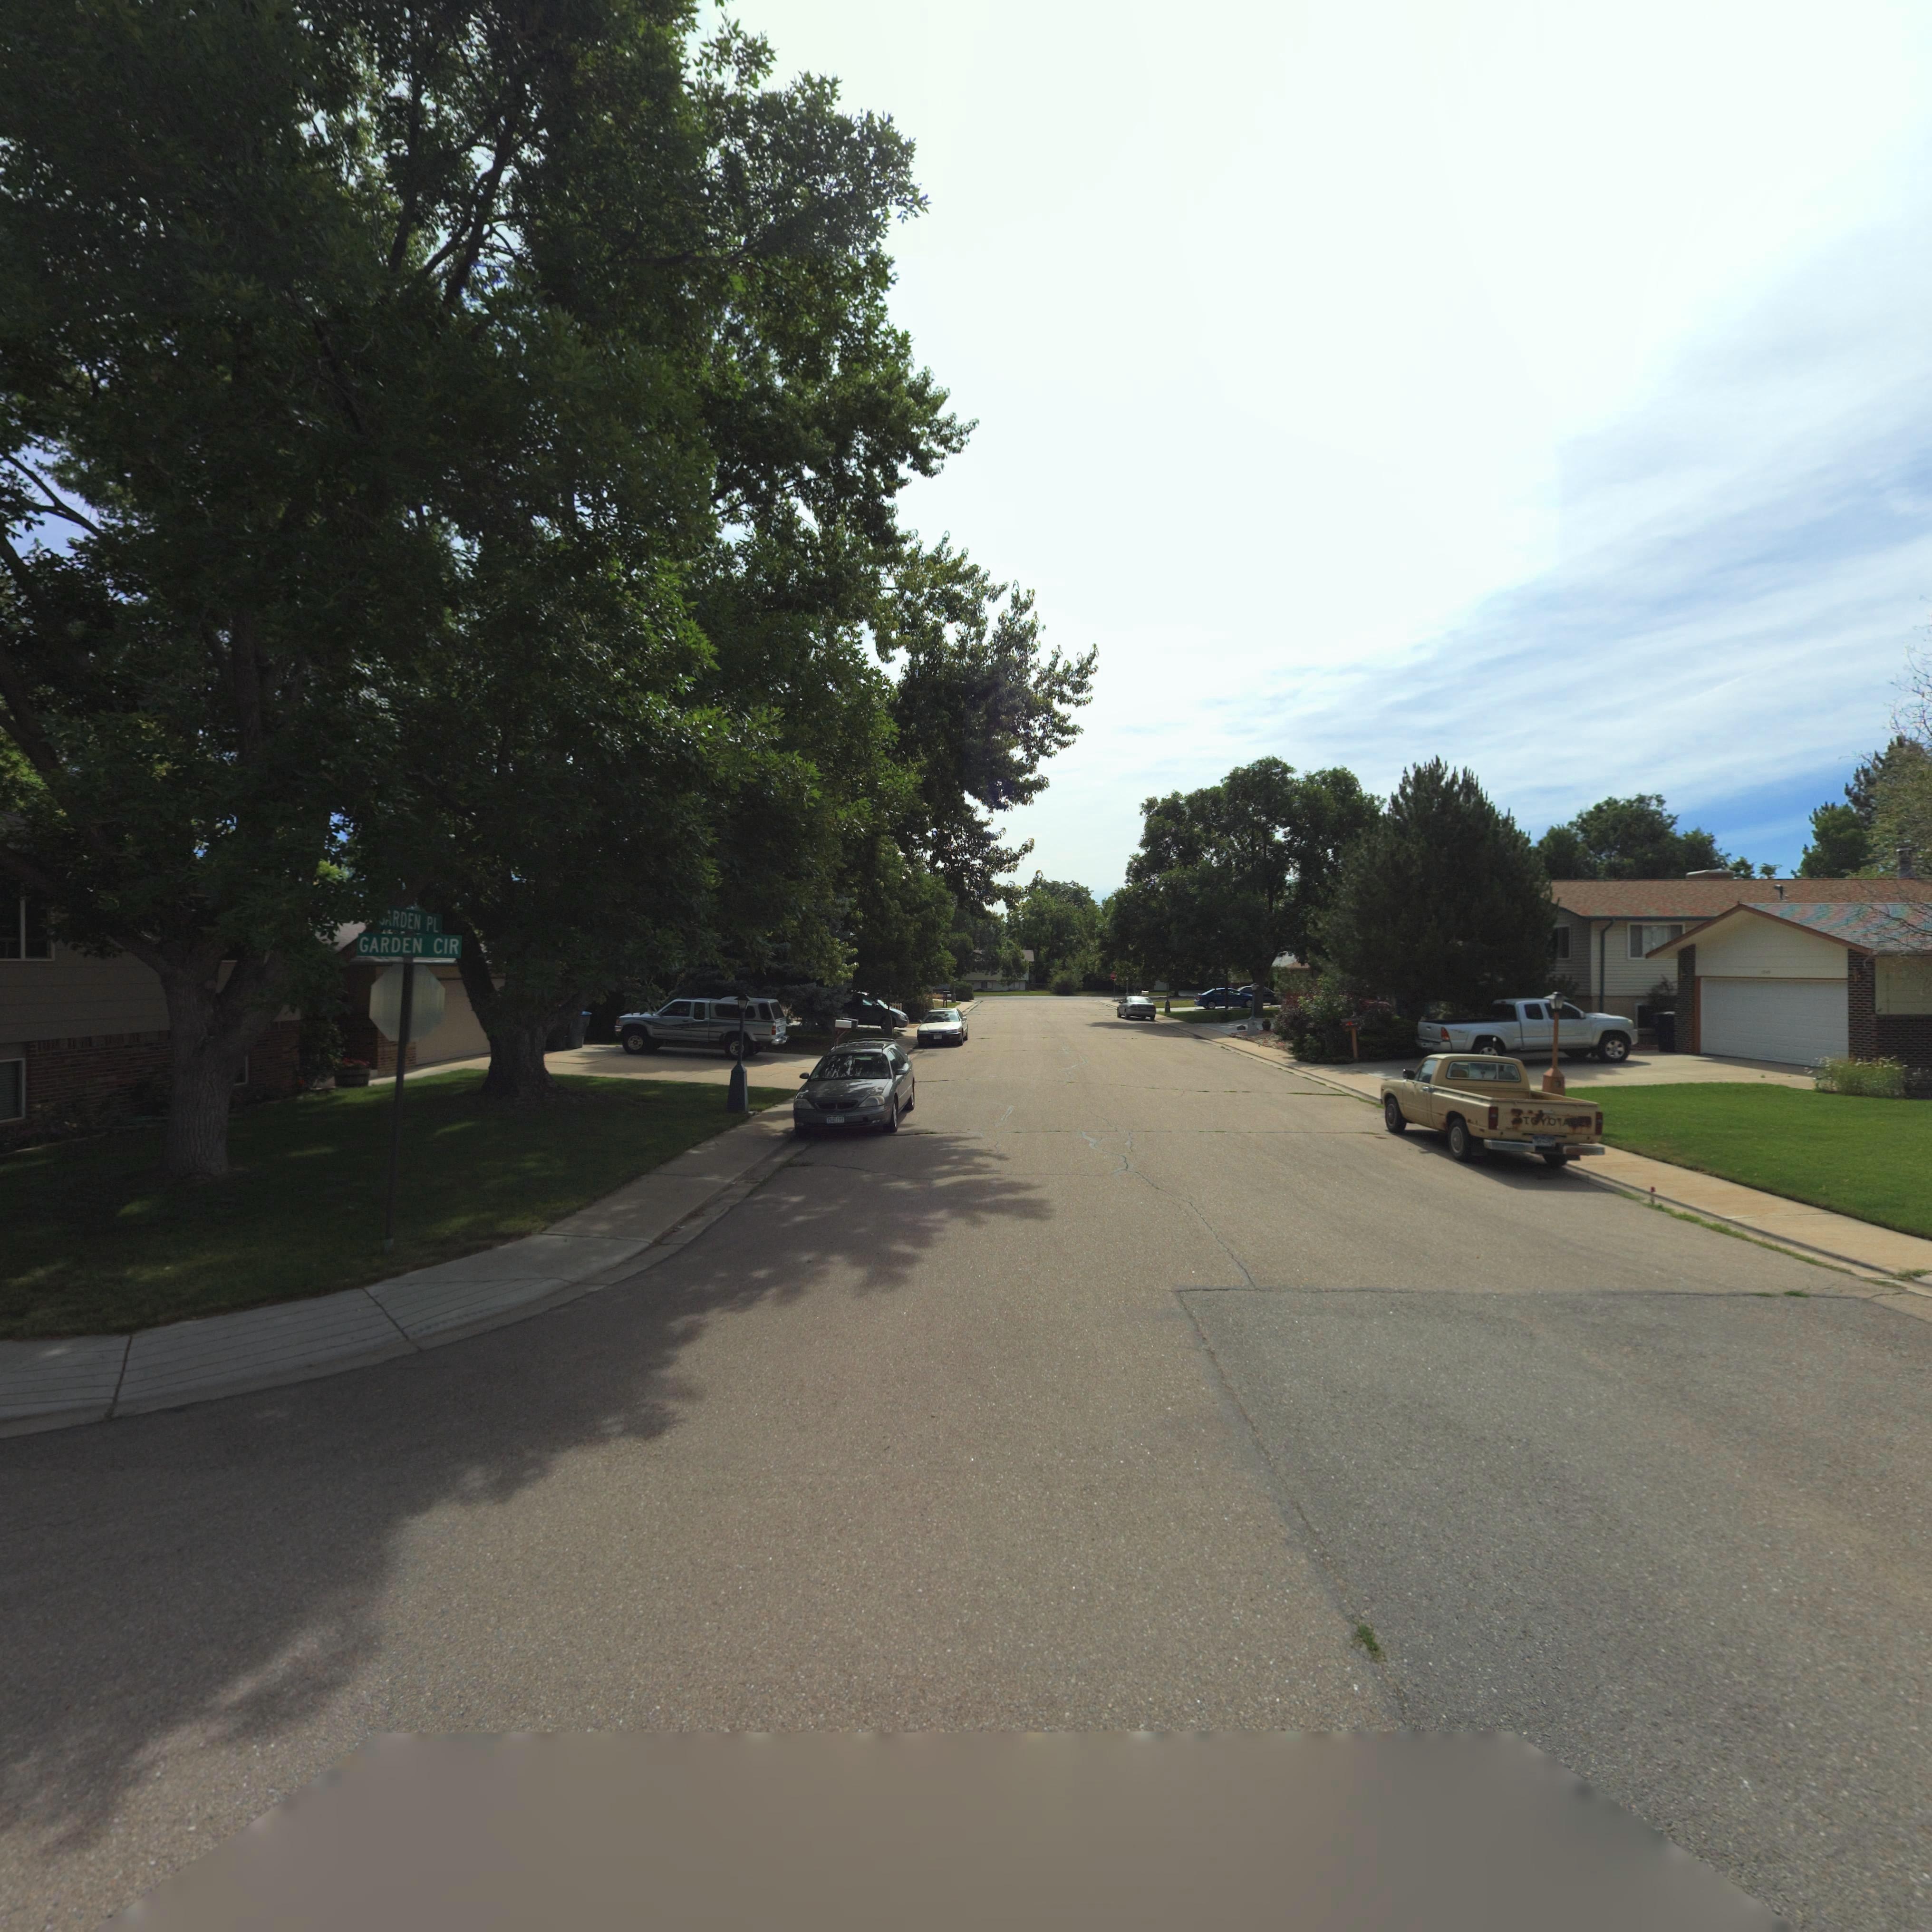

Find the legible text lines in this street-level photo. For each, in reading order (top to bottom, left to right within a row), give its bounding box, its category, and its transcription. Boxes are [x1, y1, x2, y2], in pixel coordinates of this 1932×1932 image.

[377, 907, 439, 934] StreetName: **RDEN PL
[358, 936, 460, 955] StreetName: GARDEN CIR